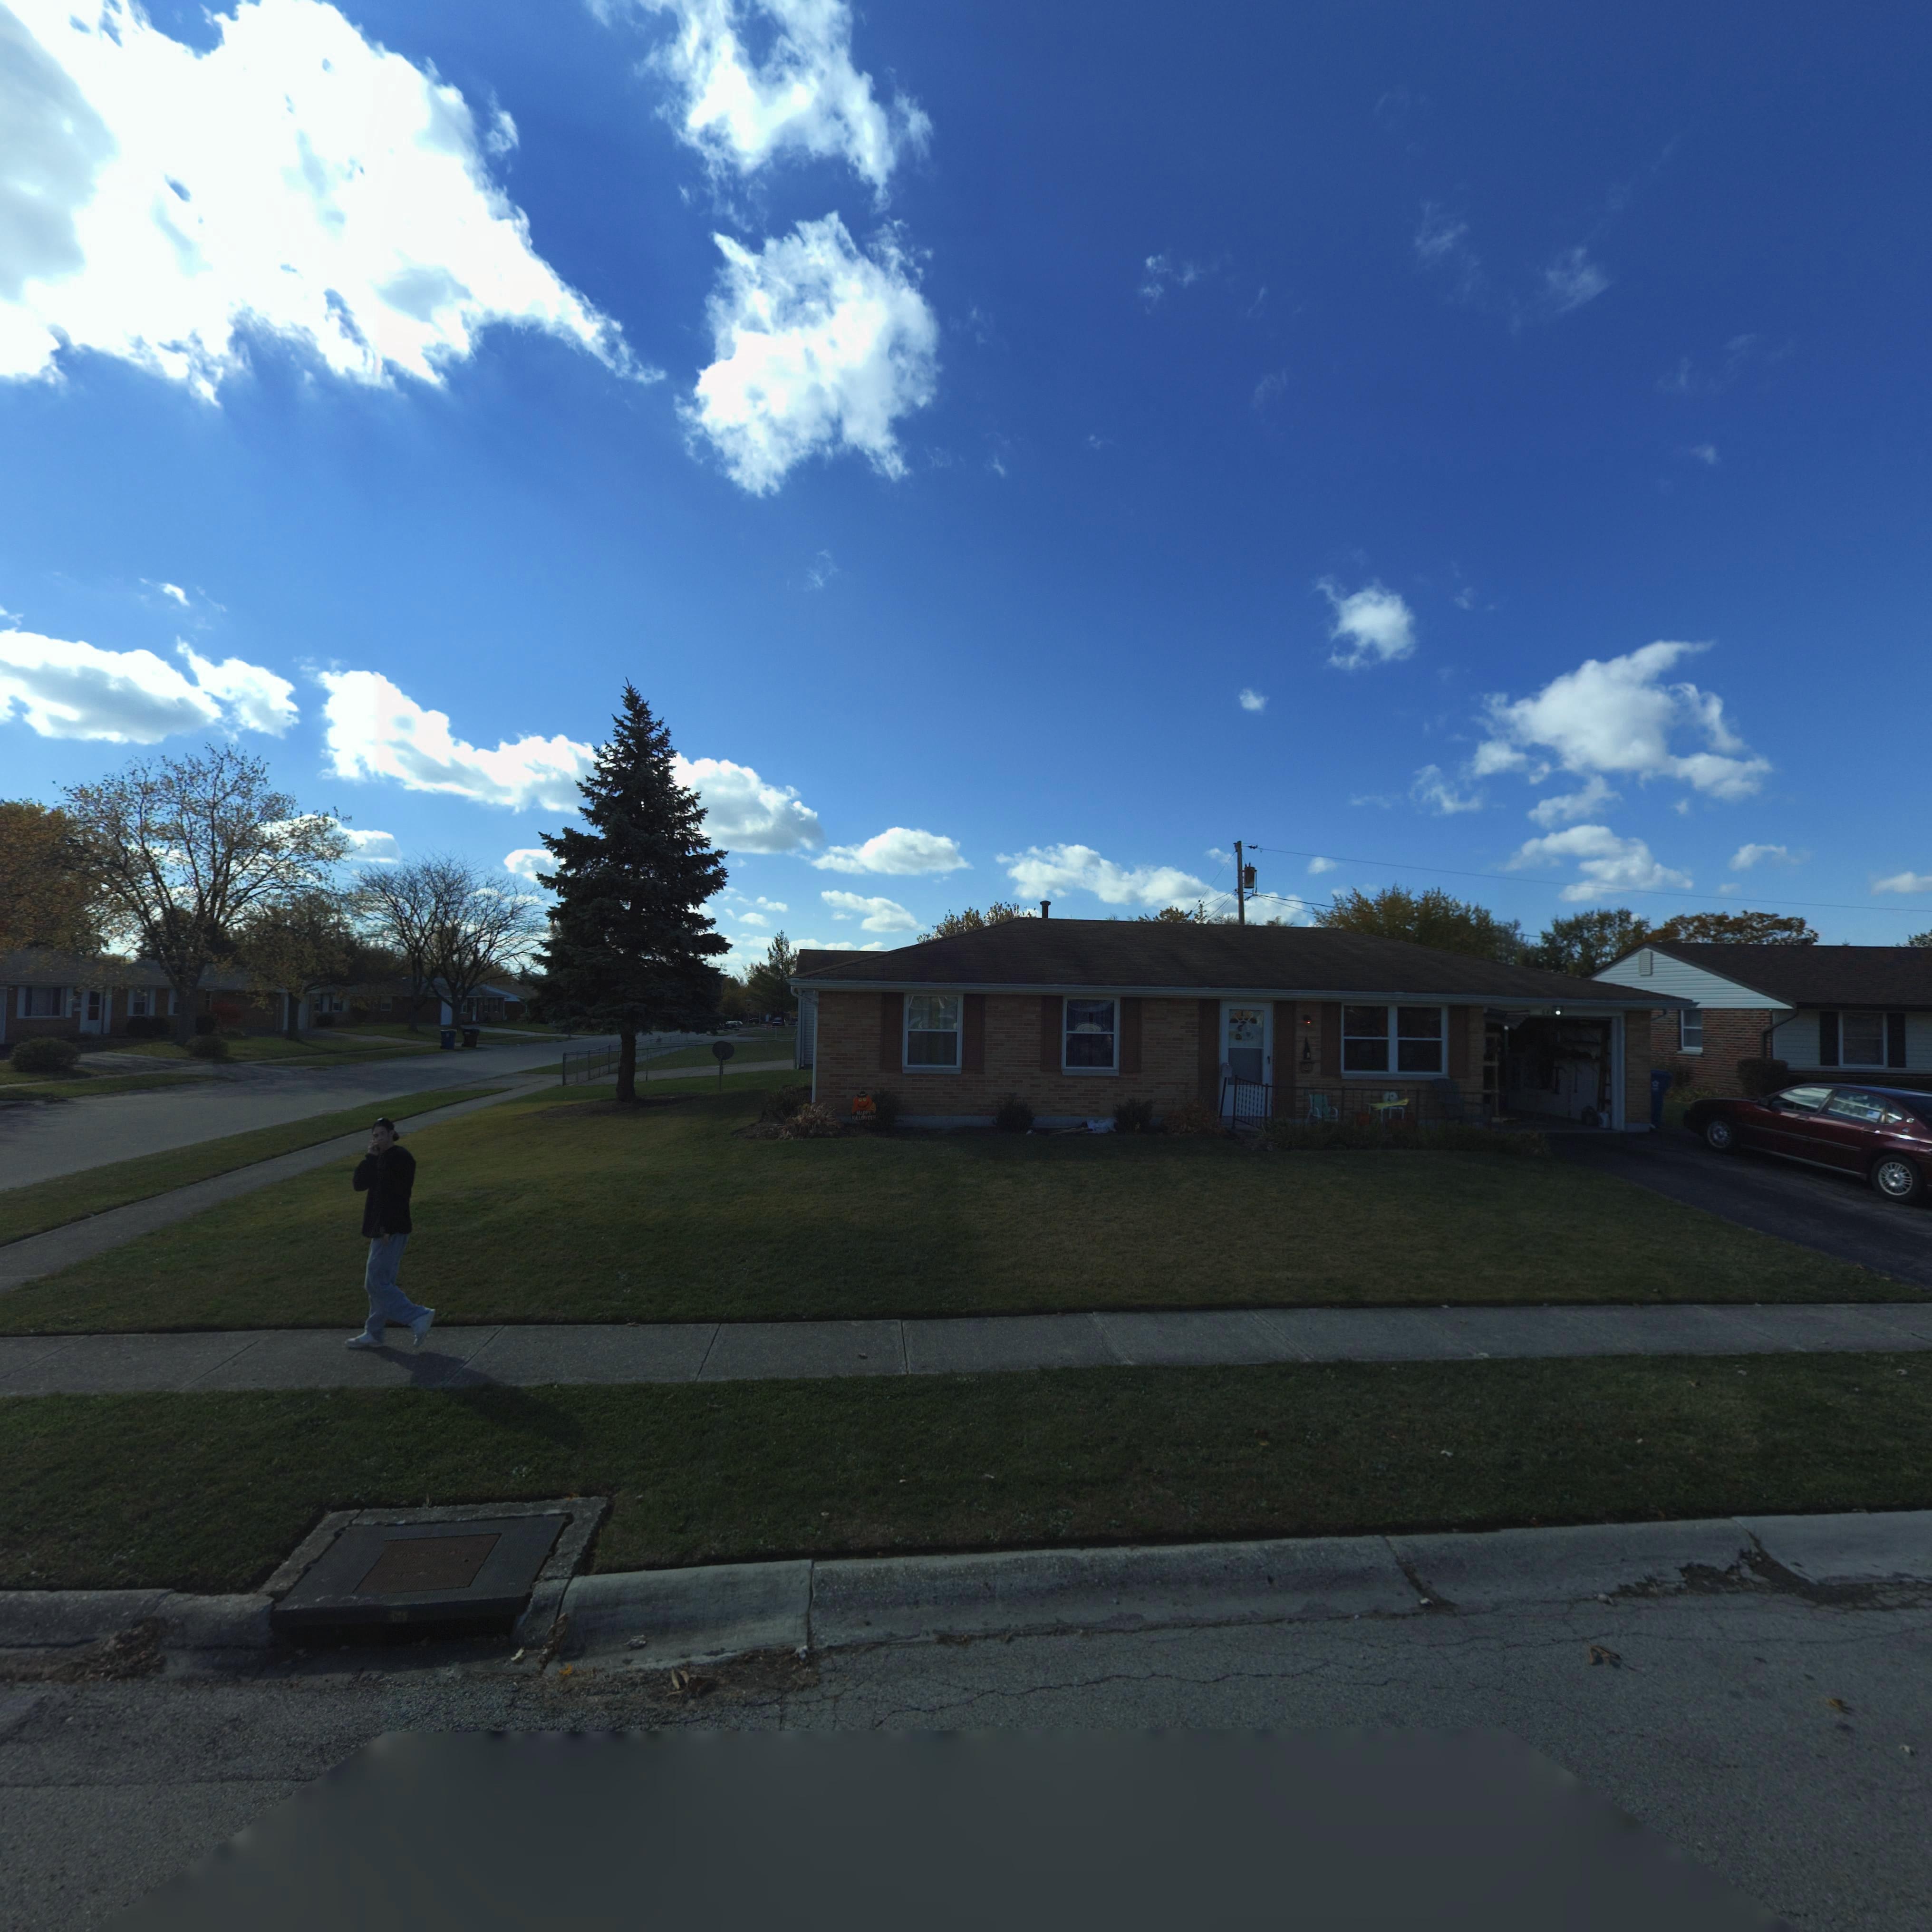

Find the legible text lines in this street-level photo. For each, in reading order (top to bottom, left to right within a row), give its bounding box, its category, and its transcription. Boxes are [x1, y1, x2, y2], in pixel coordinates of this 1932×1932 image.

[1541, 1009, 1554, 1015] StreetNumber: 646